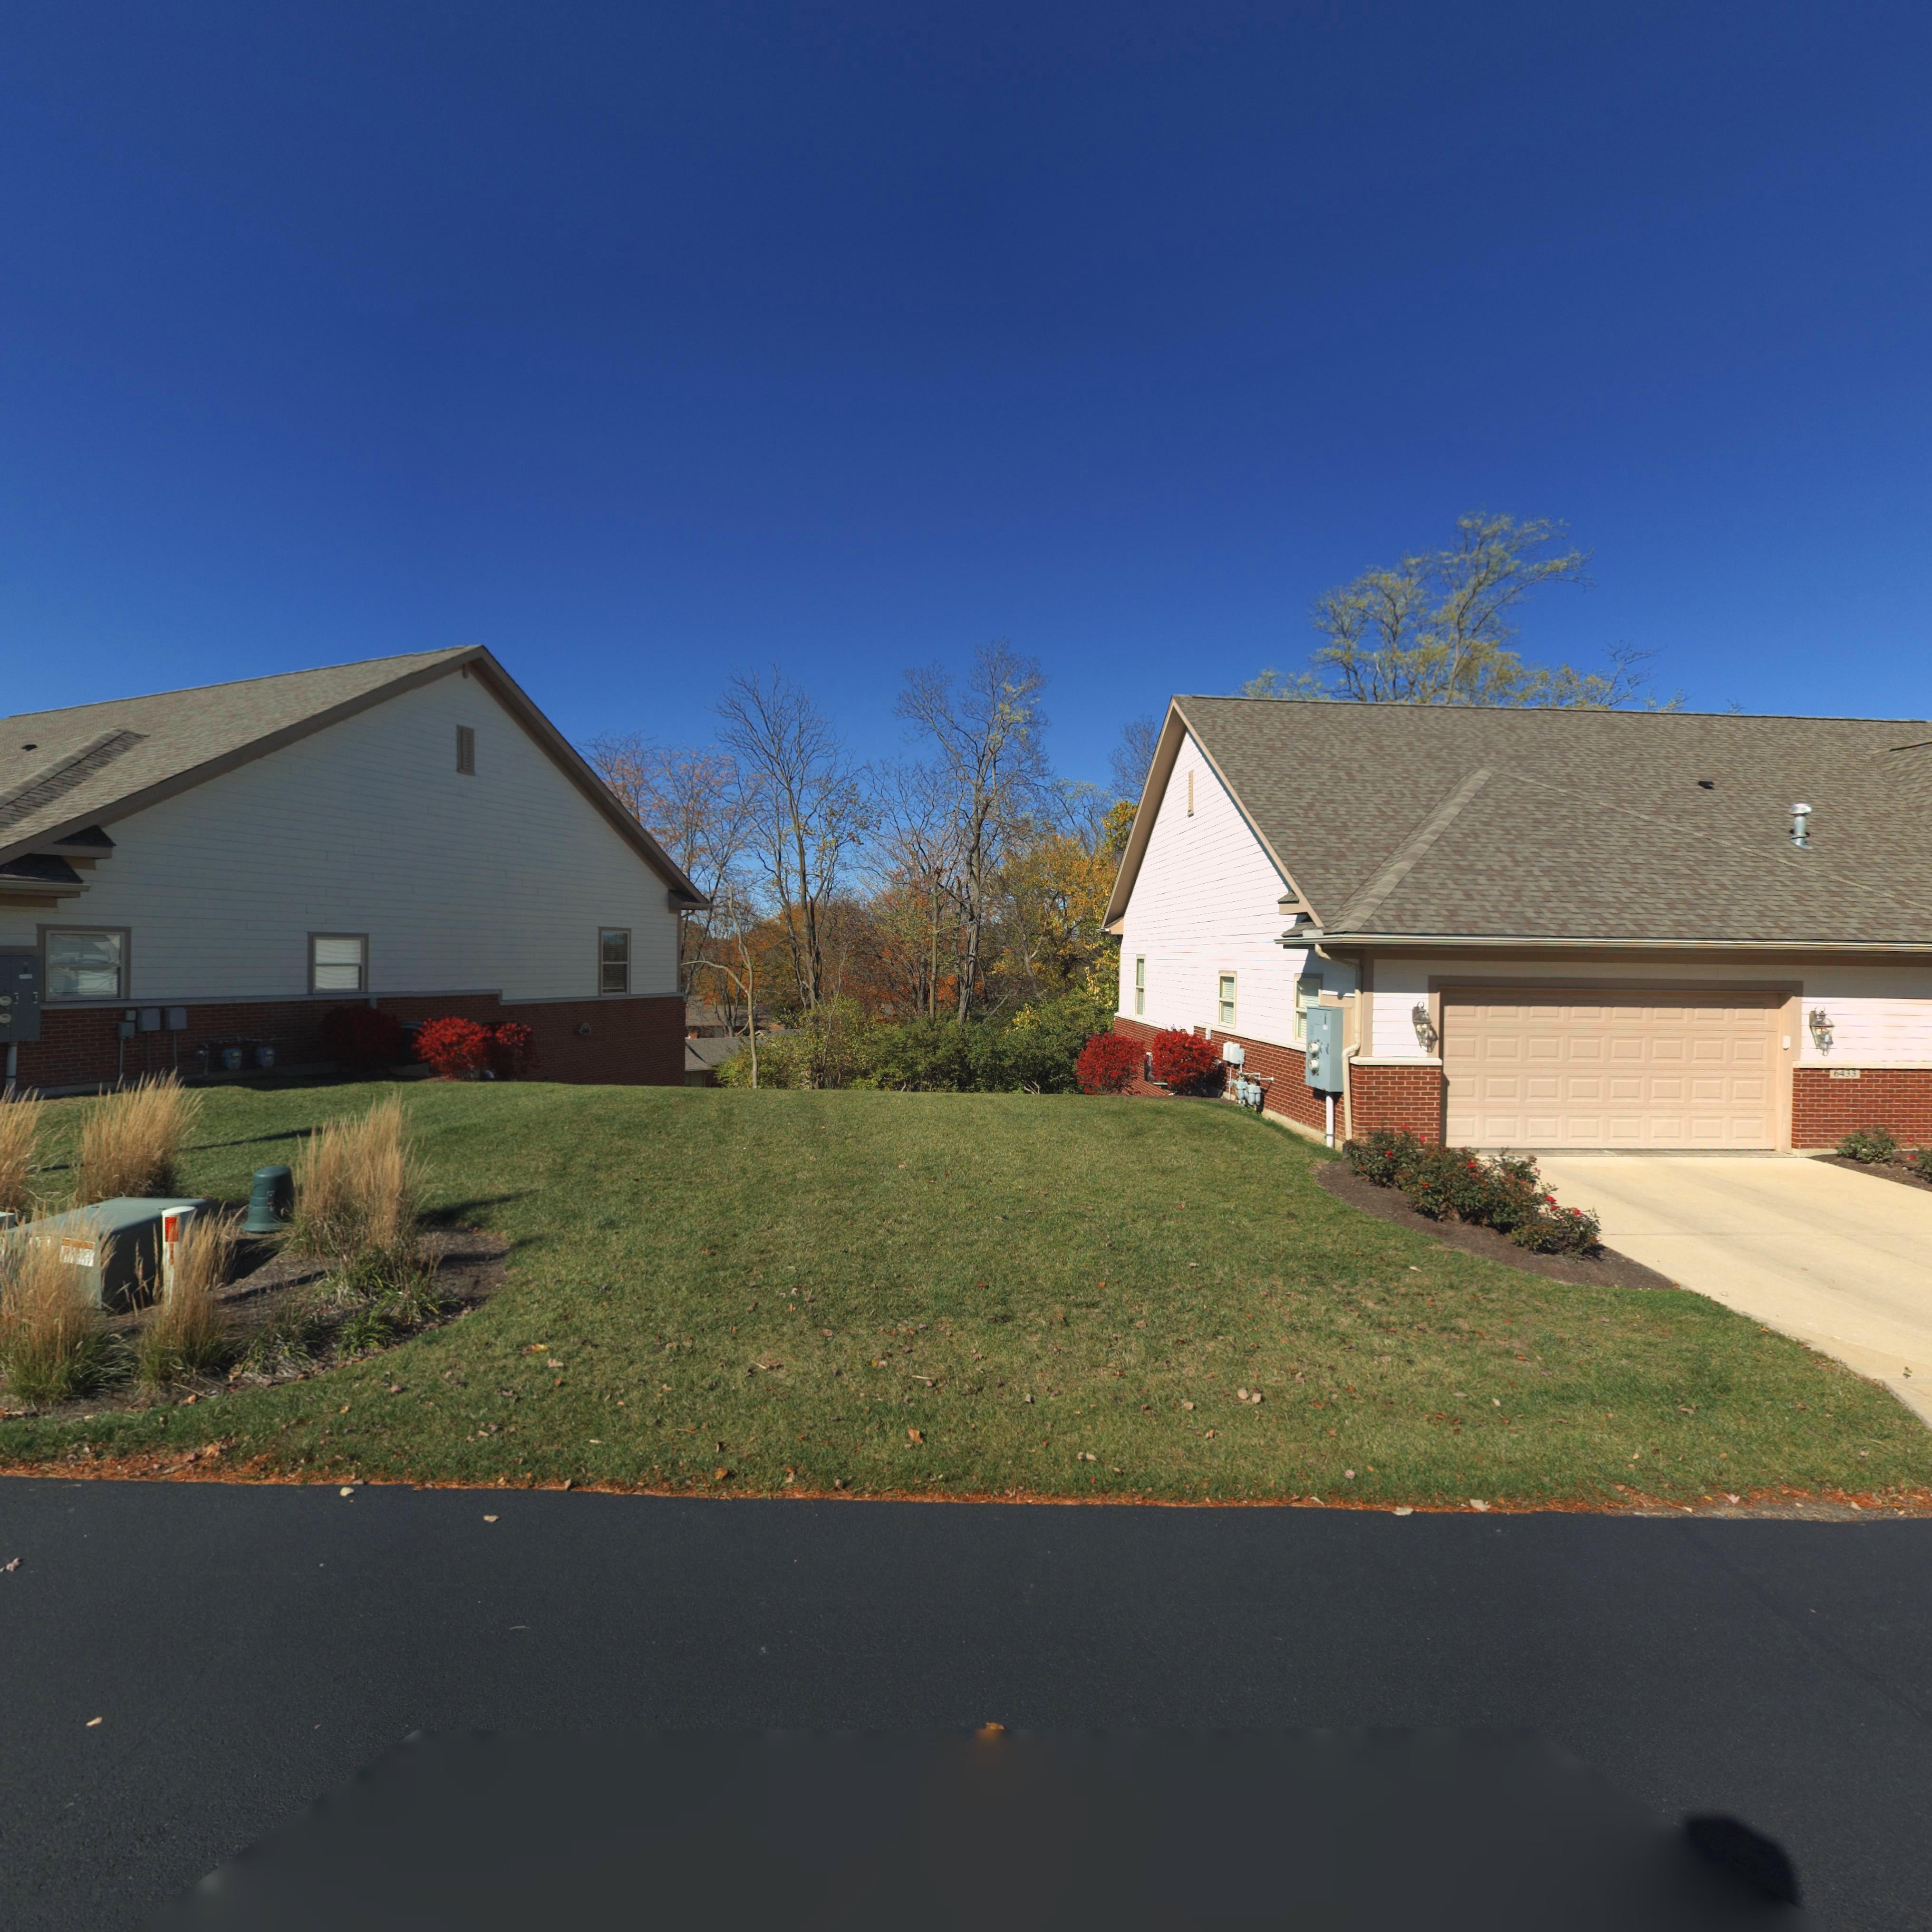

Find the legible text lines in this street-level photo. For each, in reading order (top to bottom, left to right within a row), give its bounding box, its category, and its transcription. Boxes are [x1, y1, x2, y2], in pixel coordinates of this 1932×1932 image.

[1832, 1068, 1858, 1078] StreetNumber: 6433